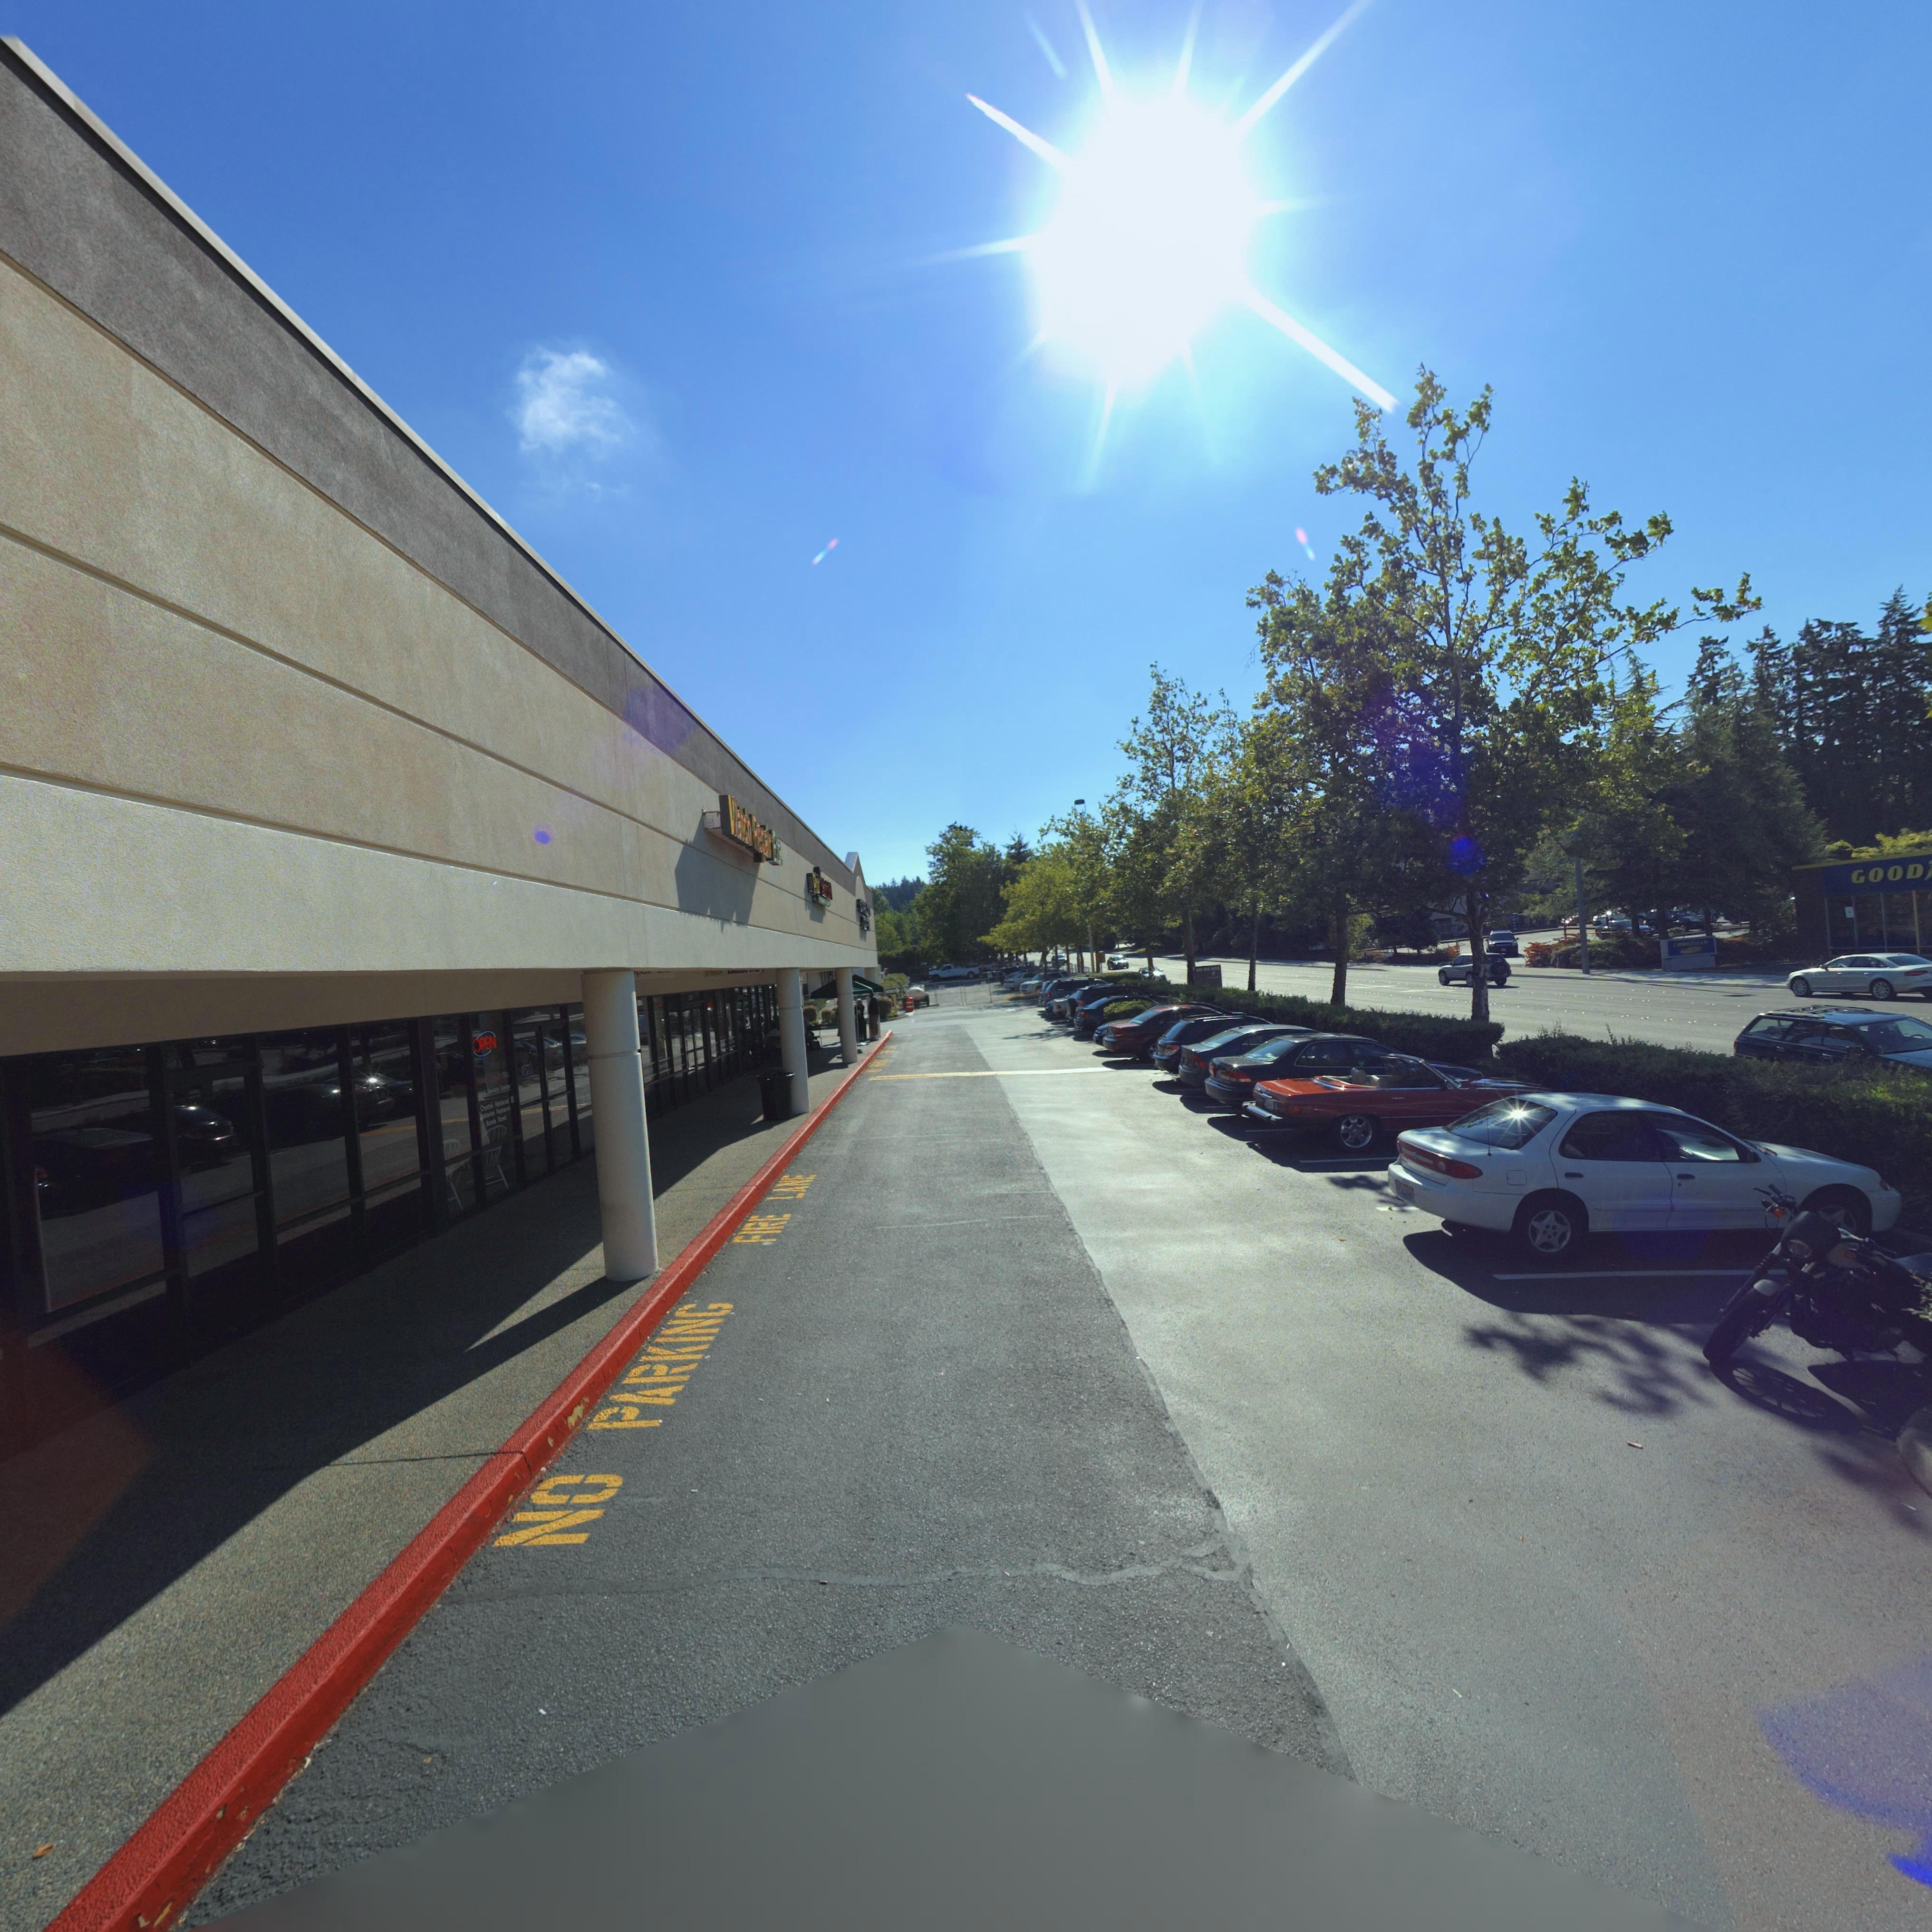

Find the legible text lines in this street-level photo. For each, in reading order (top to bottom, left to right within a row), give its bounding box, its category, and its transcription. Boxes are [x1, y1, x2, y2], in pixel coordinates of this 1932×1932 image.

[1851, 863, 1924, 883] BusinessName: GOOD